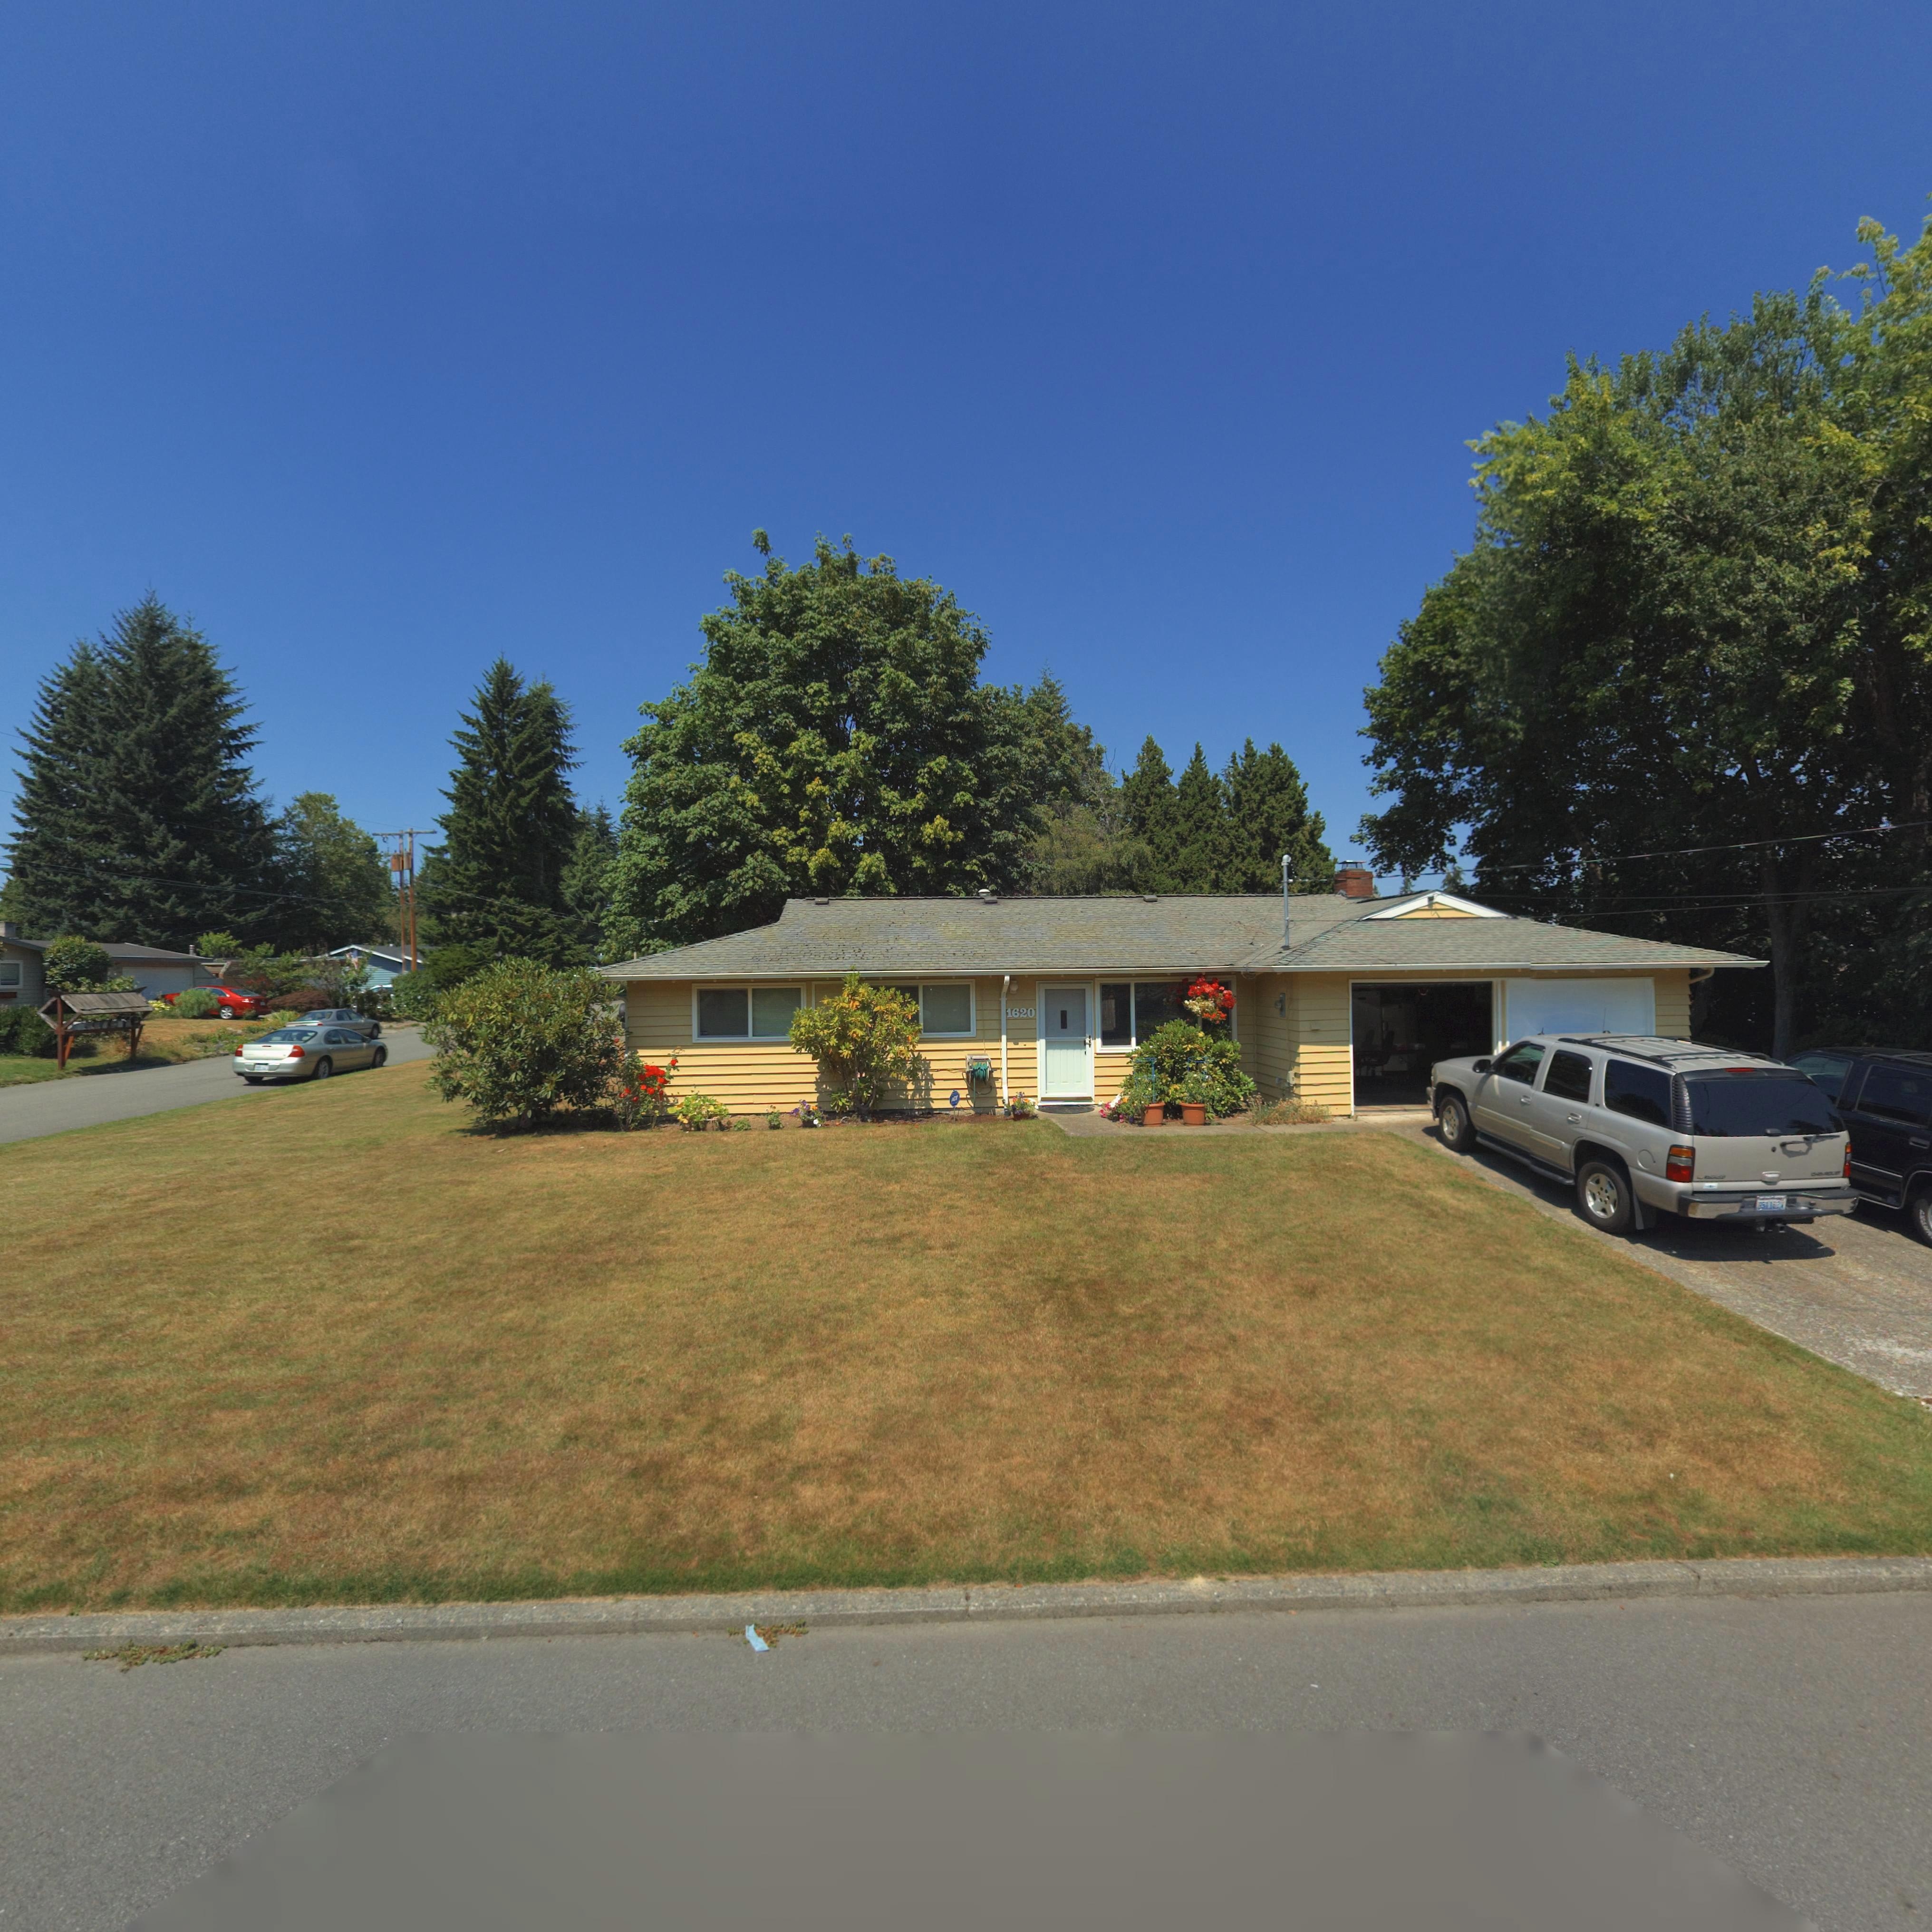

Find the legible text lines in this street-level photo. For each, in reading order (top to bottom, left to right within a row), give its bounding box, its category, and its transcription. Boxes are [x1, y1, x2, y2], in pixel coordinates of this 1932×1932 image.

[1006, 1006, 1035, 1017] StreetNumber: 1620